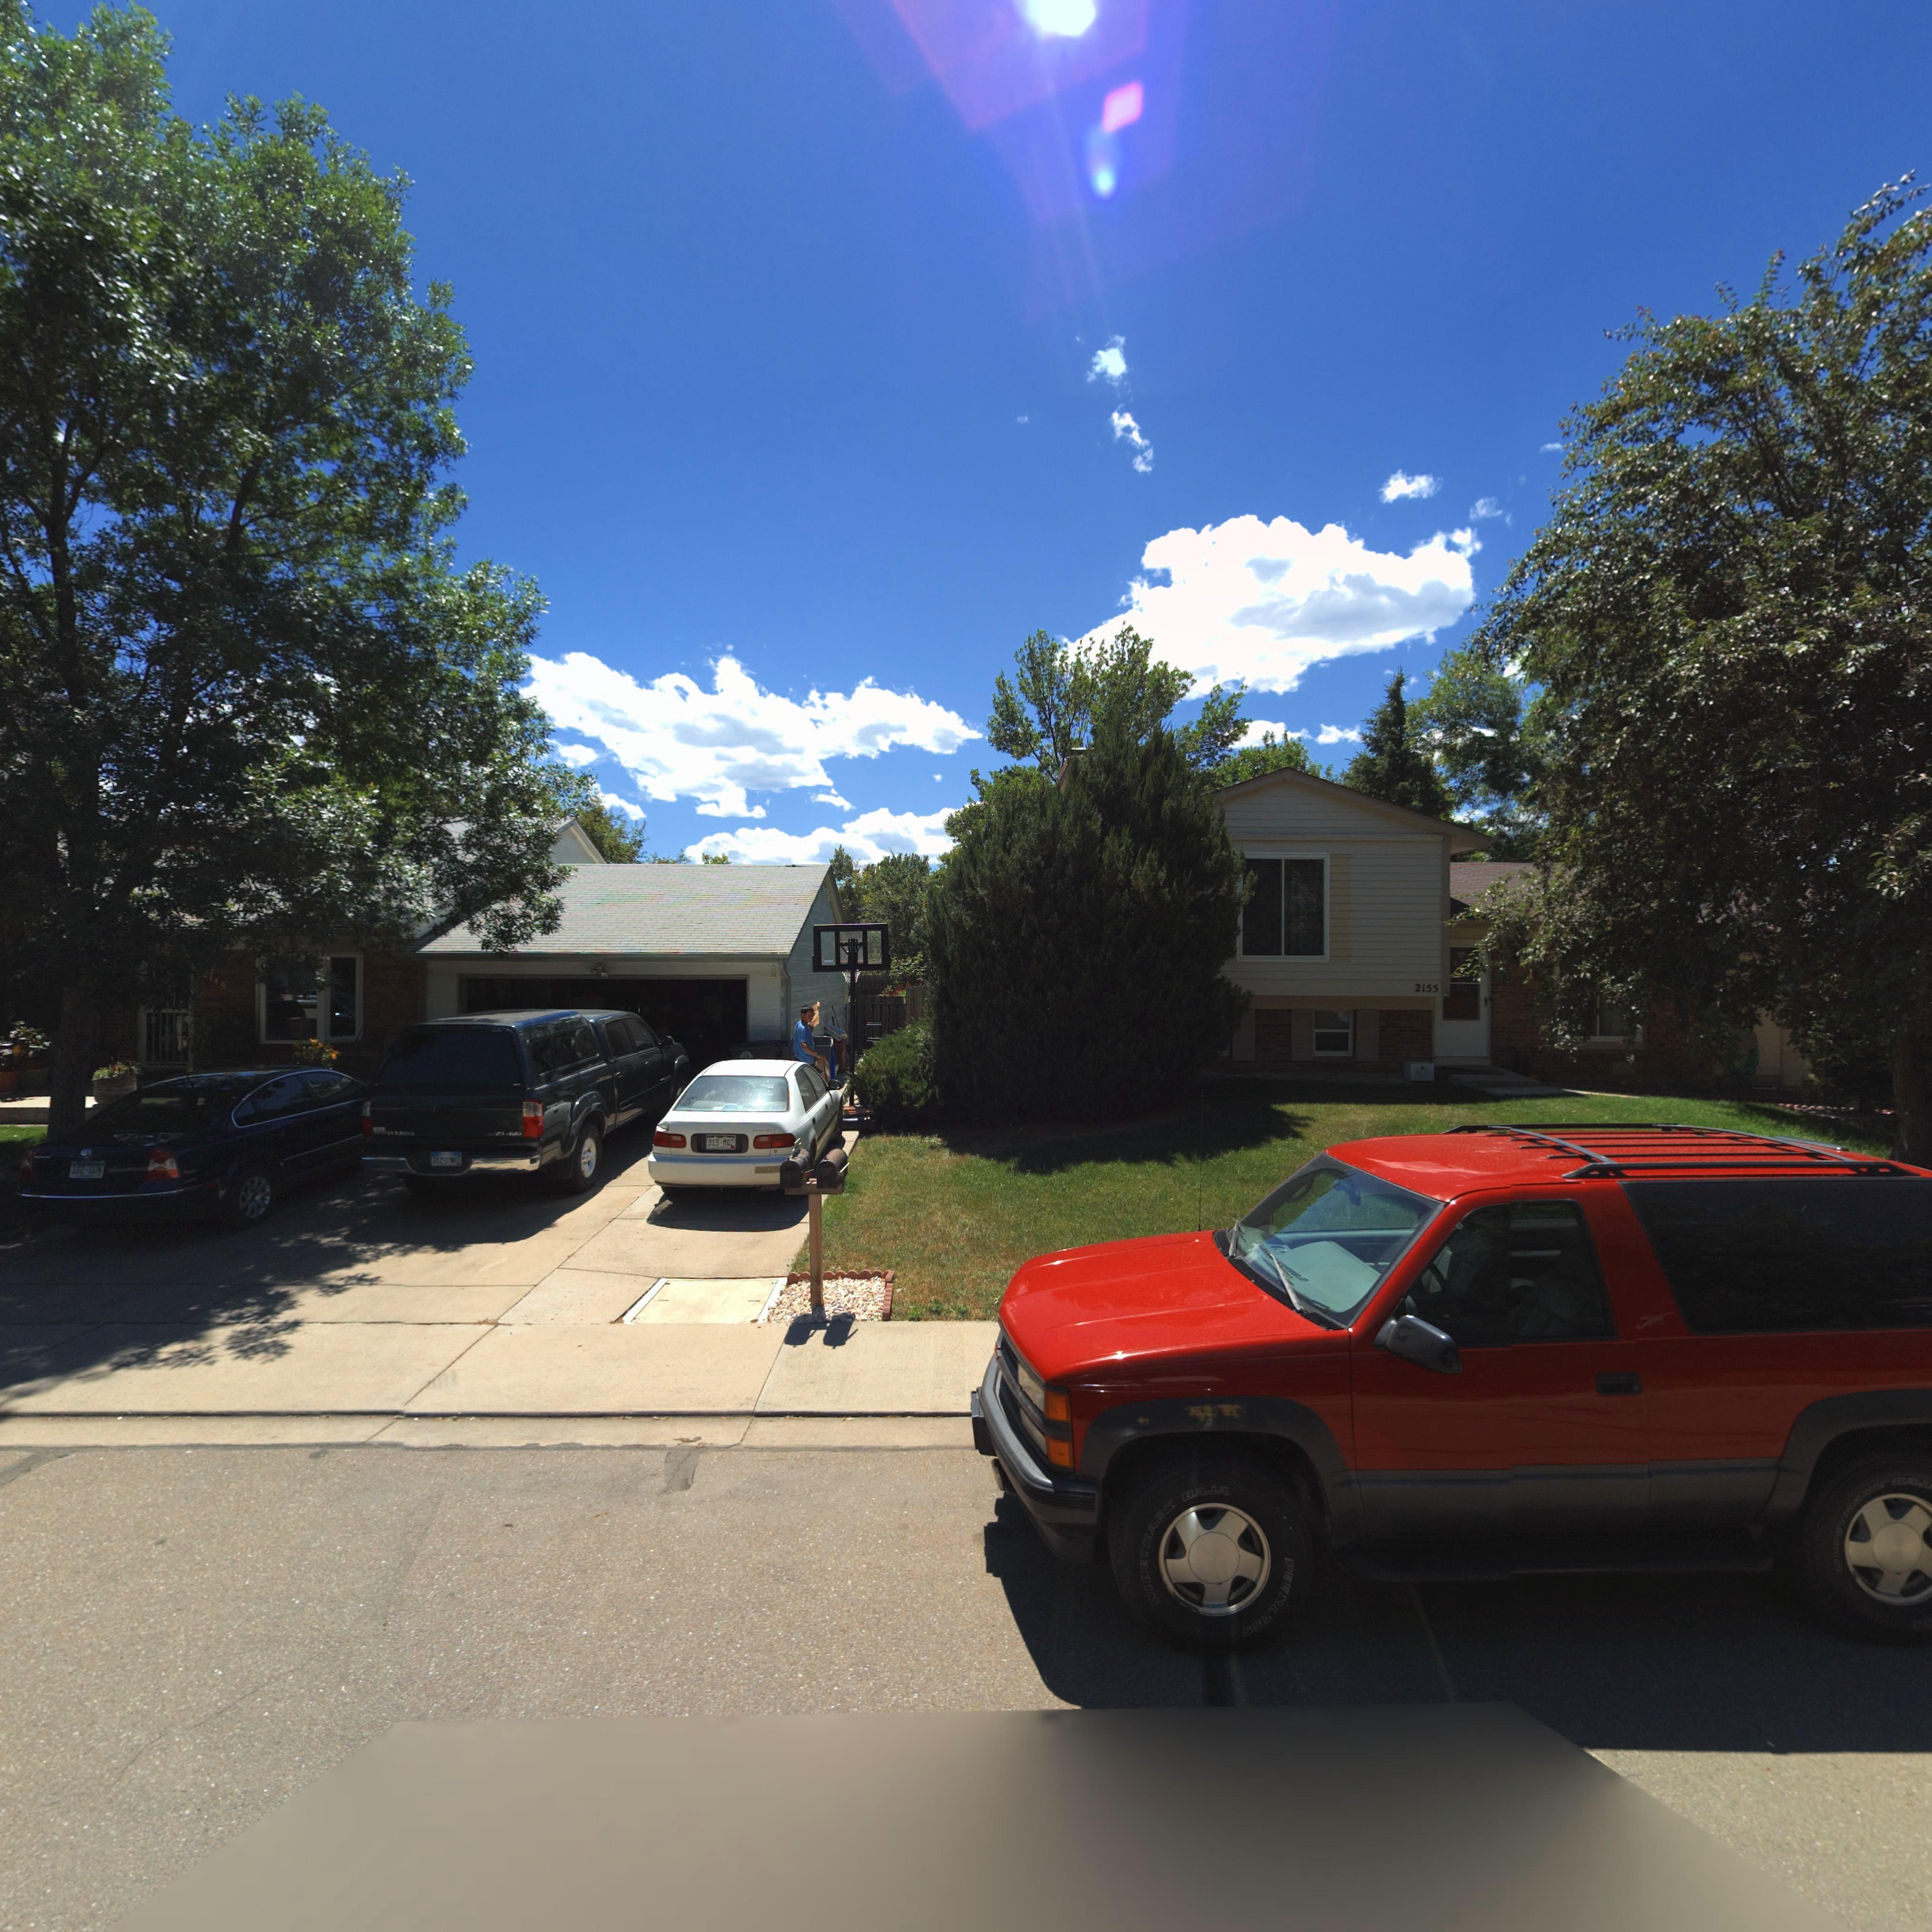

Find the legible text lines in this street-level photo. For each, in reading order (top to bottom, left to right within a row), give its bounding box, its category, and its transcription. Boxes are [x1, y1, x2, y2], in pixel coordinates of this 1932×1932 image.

[1414, 984, 1439, 993] StreetNumber: 2155